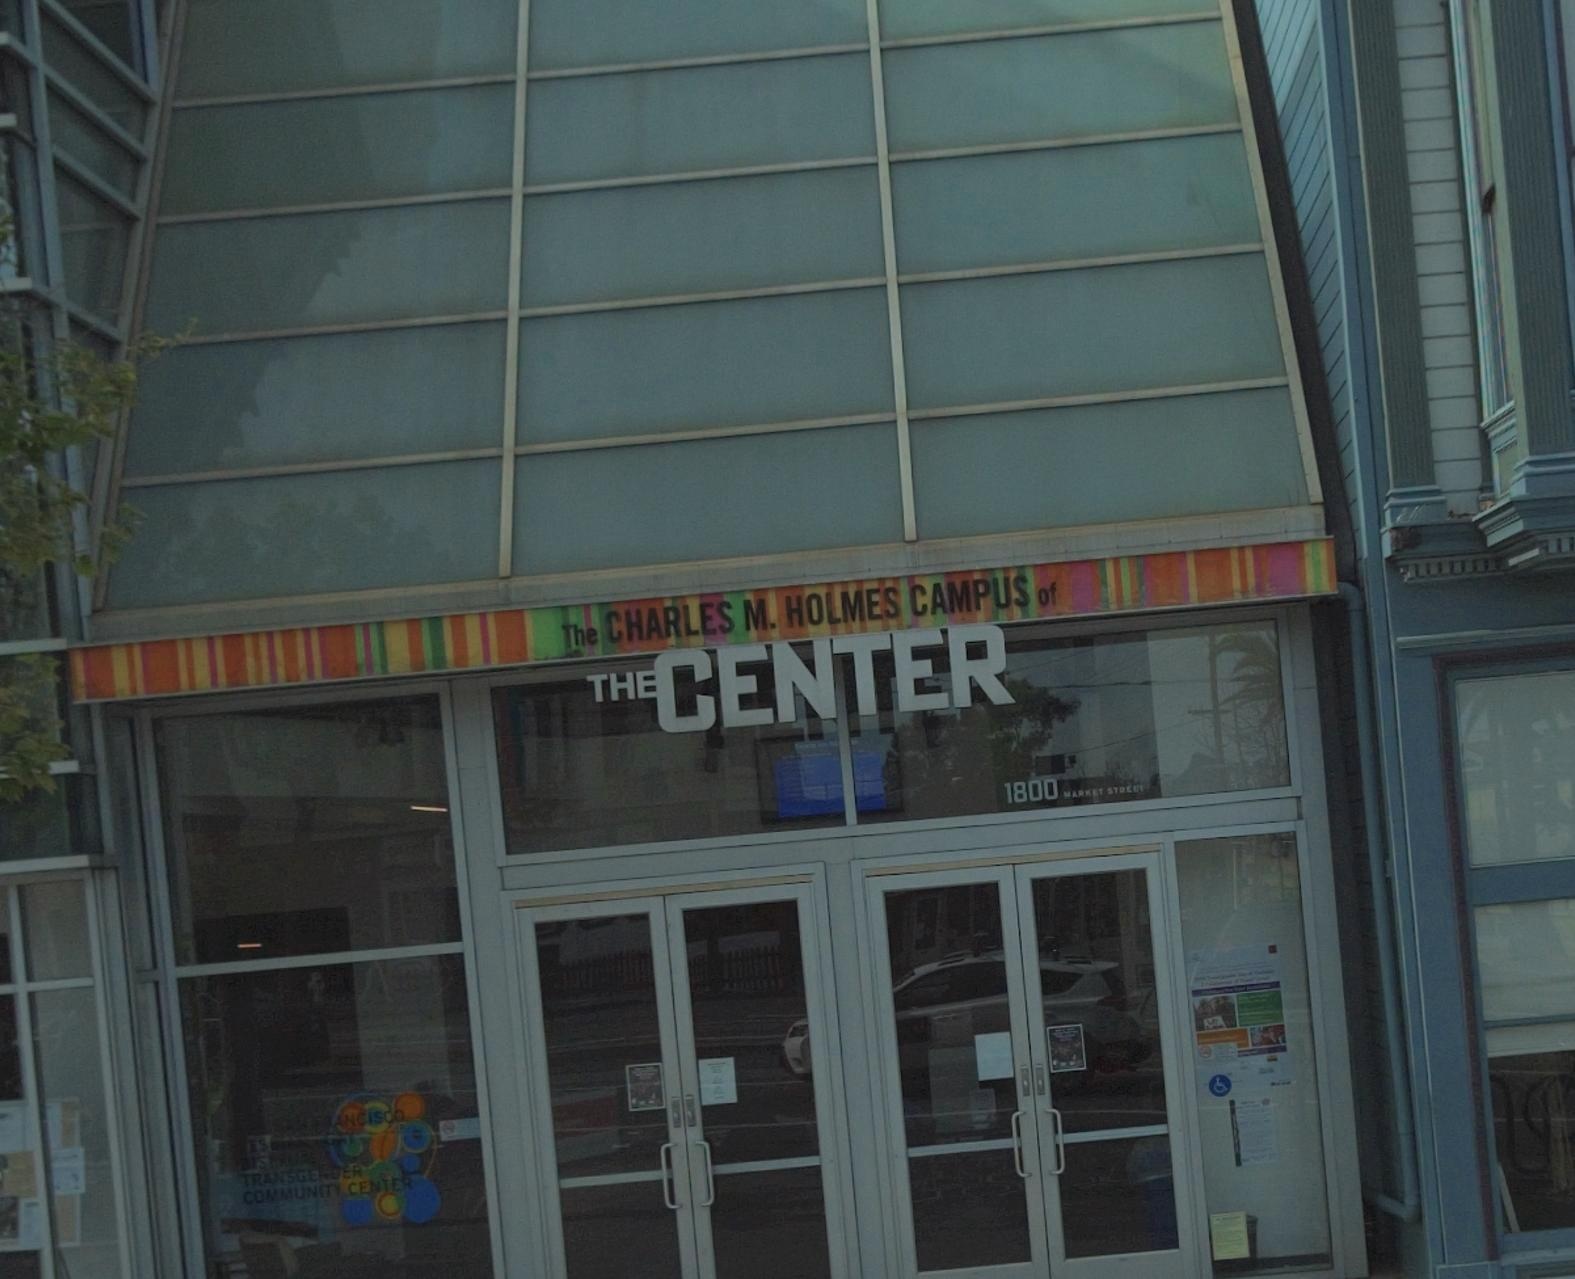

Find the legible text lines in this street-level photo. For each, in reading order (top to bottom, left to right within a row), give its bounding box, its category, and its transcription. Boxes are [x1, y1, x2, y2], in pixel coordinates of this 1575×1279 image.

[555, 570, 1063, 652] BusinessName: The CHARLES M. HOLMES CAMPUS of
[581, 620, 1023, 740] BusinessName: THE CENTER
[1000, 775, 1061, 808] StreetNumber: 1800
[1061, 783, 1128, 802] StreetName: MARKET ST*
[329, 1105, 408, 1132] None: ANCISCO
[257, 1136, 272, 1157] None: S
[255, 1154, 270, 1171] None: S
[237, 1162, 365, 1191] None: TRANSGE**ER
[240, 1173, 417, 1208] None: COMMUNITY CENTER